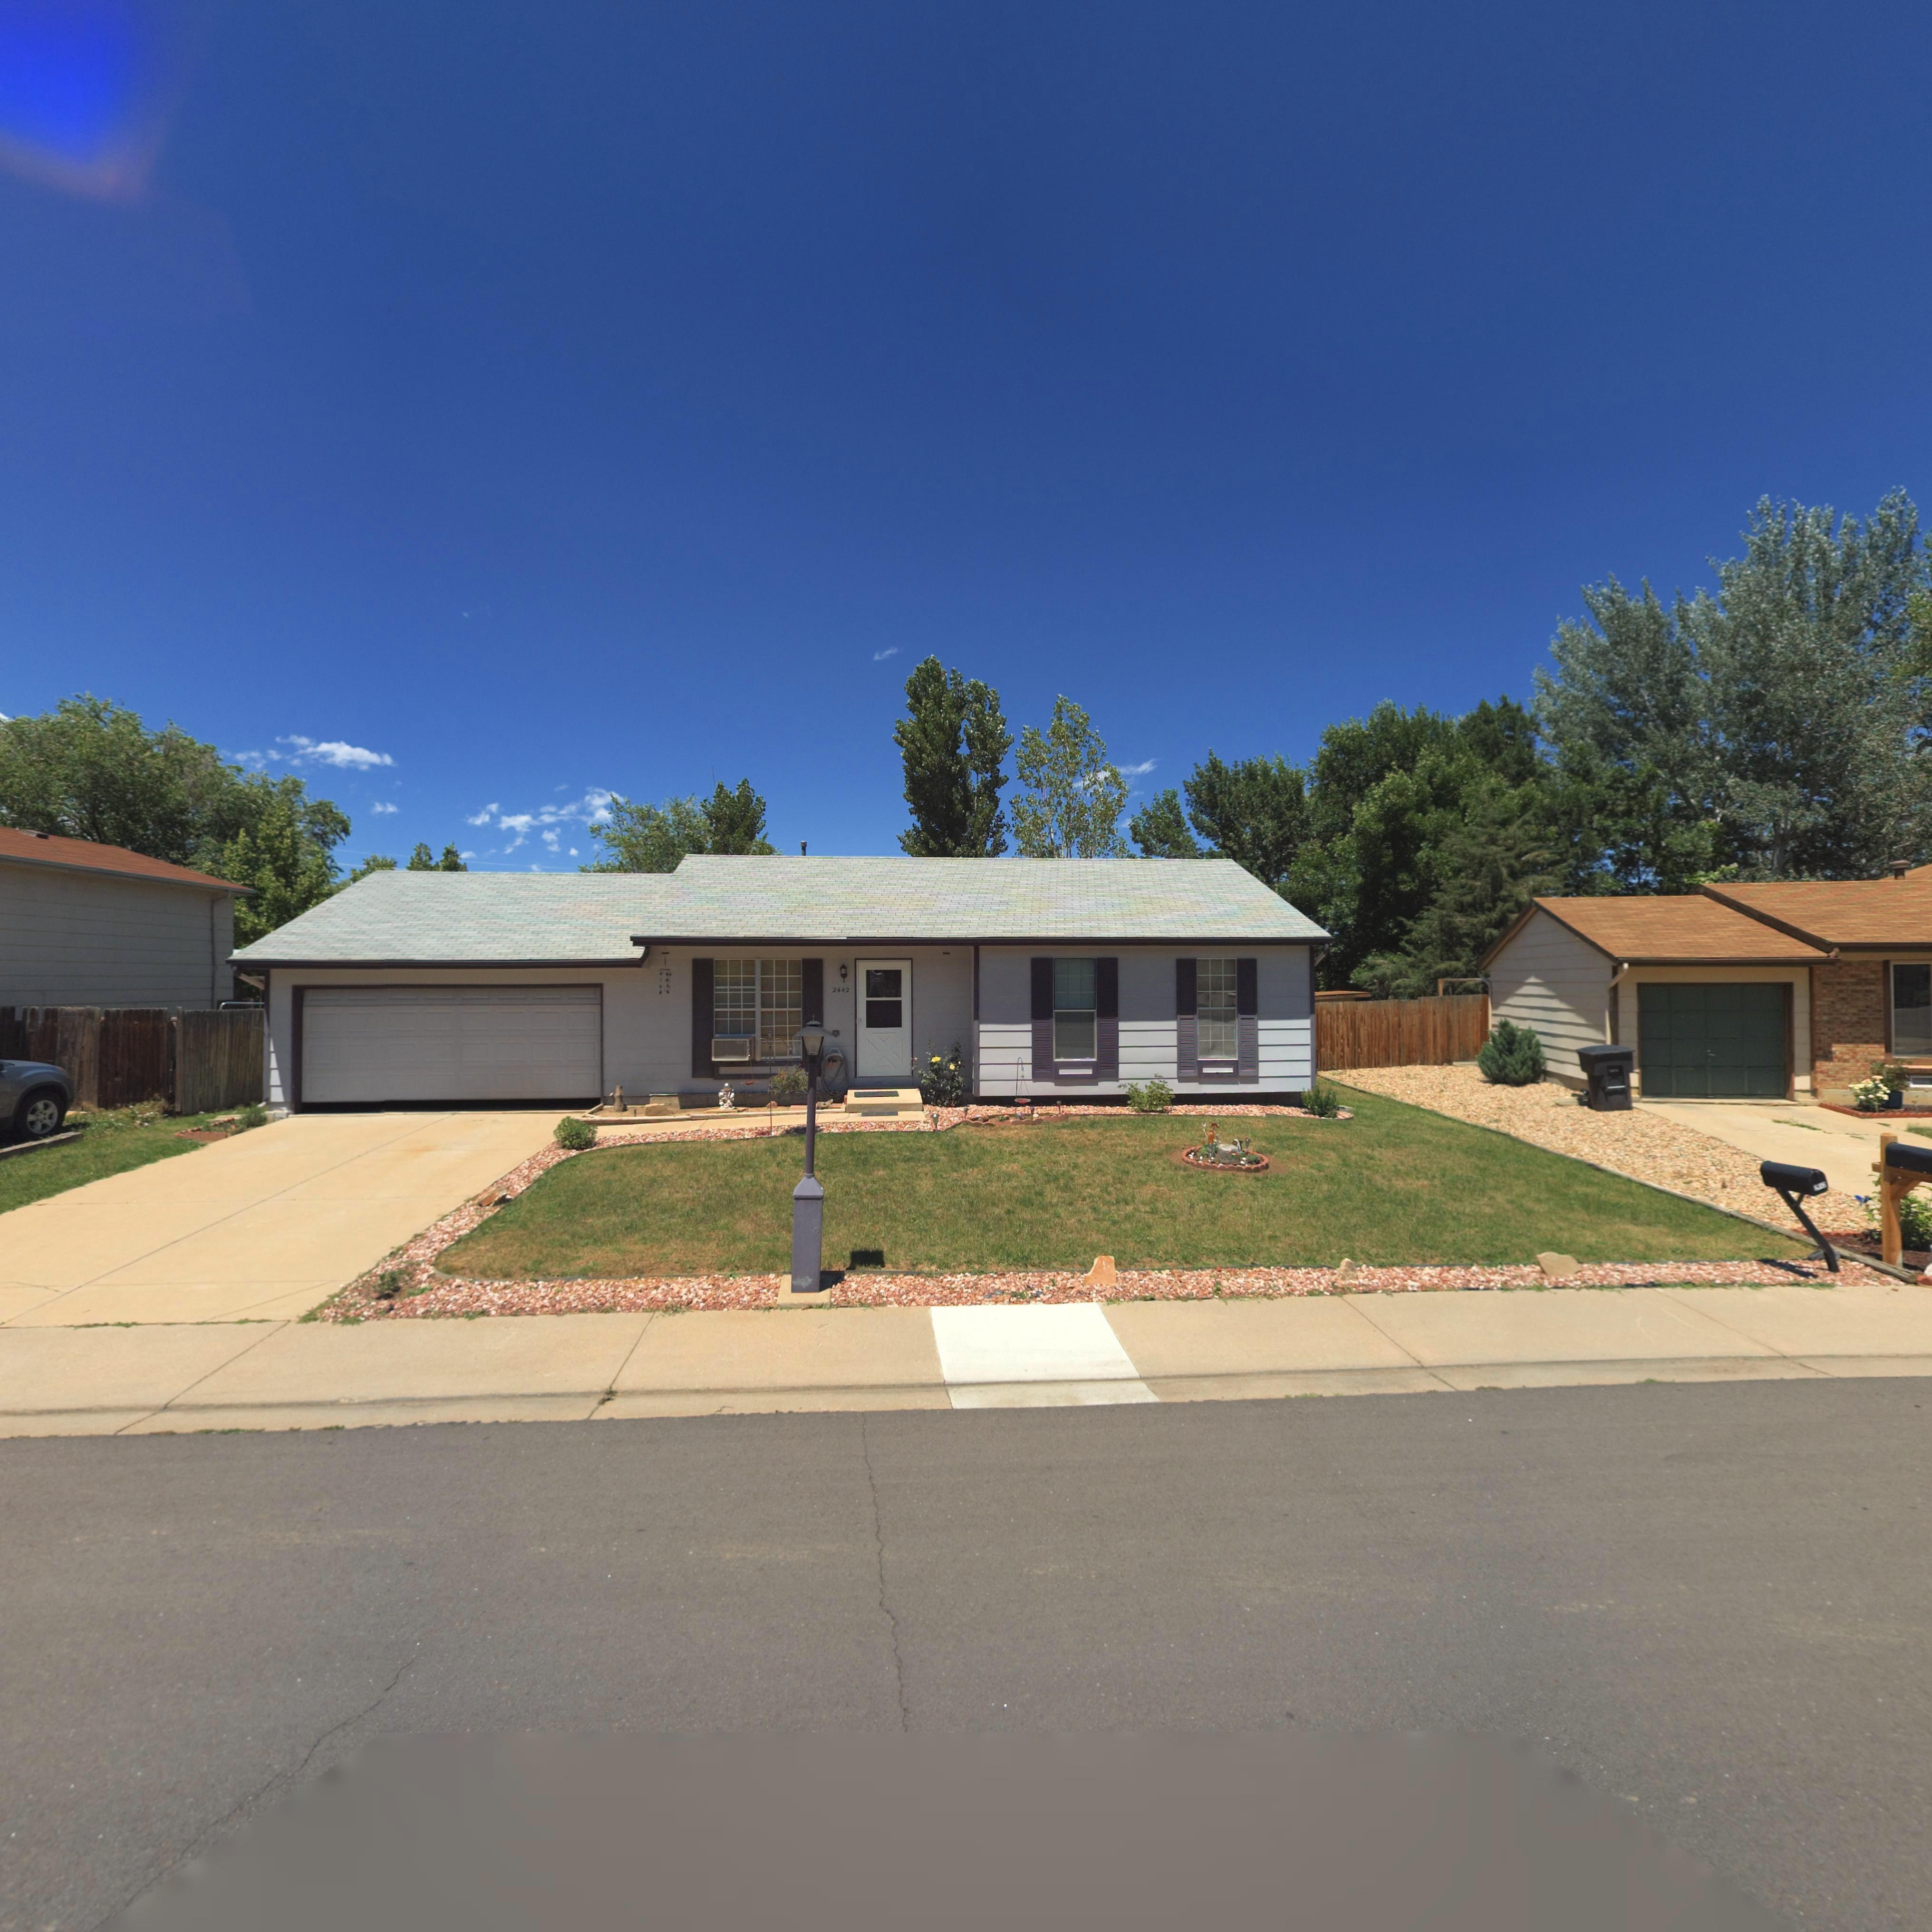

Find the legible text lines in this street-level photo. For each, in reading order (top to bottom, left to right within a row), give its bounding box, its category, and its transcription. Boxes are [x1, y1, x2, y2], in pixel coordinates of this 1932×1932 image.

[832, 987, 849, 992] StreetNumber: 2442